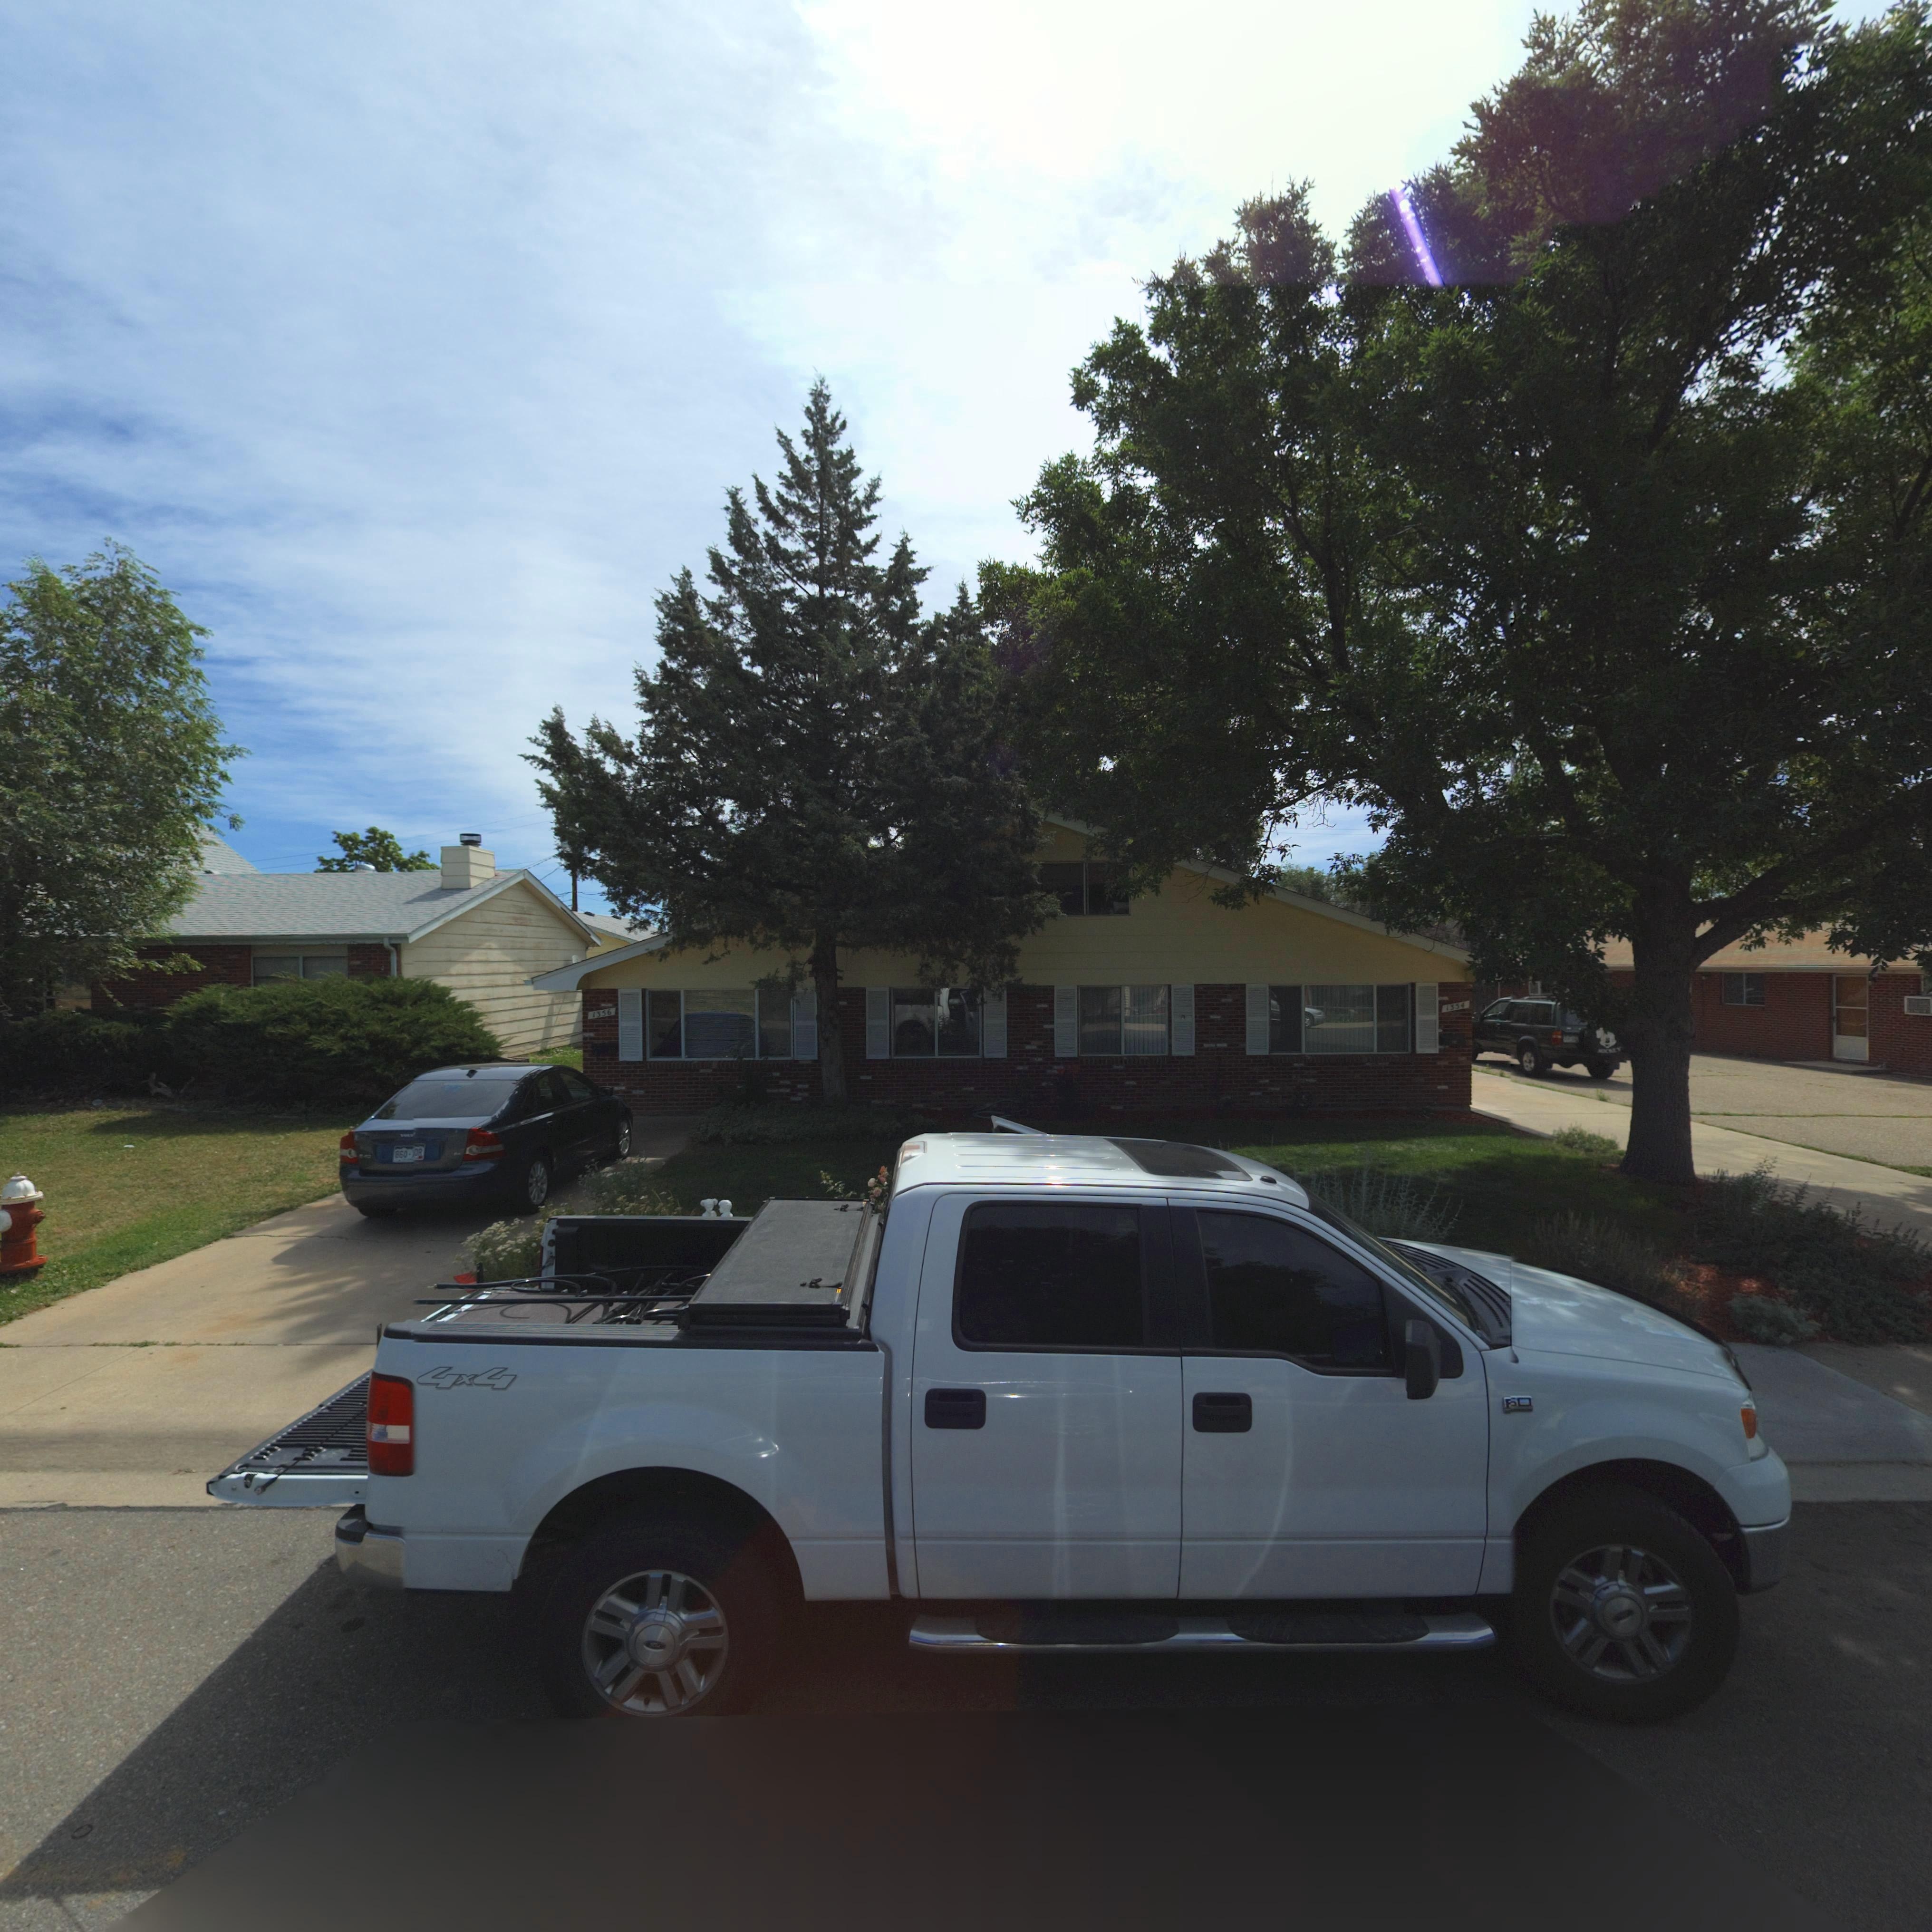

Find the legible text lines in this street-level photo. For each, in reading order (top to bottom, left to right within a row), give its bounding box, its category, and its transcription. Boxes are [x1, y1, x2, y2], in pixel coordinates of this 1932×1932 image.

[592, 1009, 612, 1018] StreetNumber: 1356